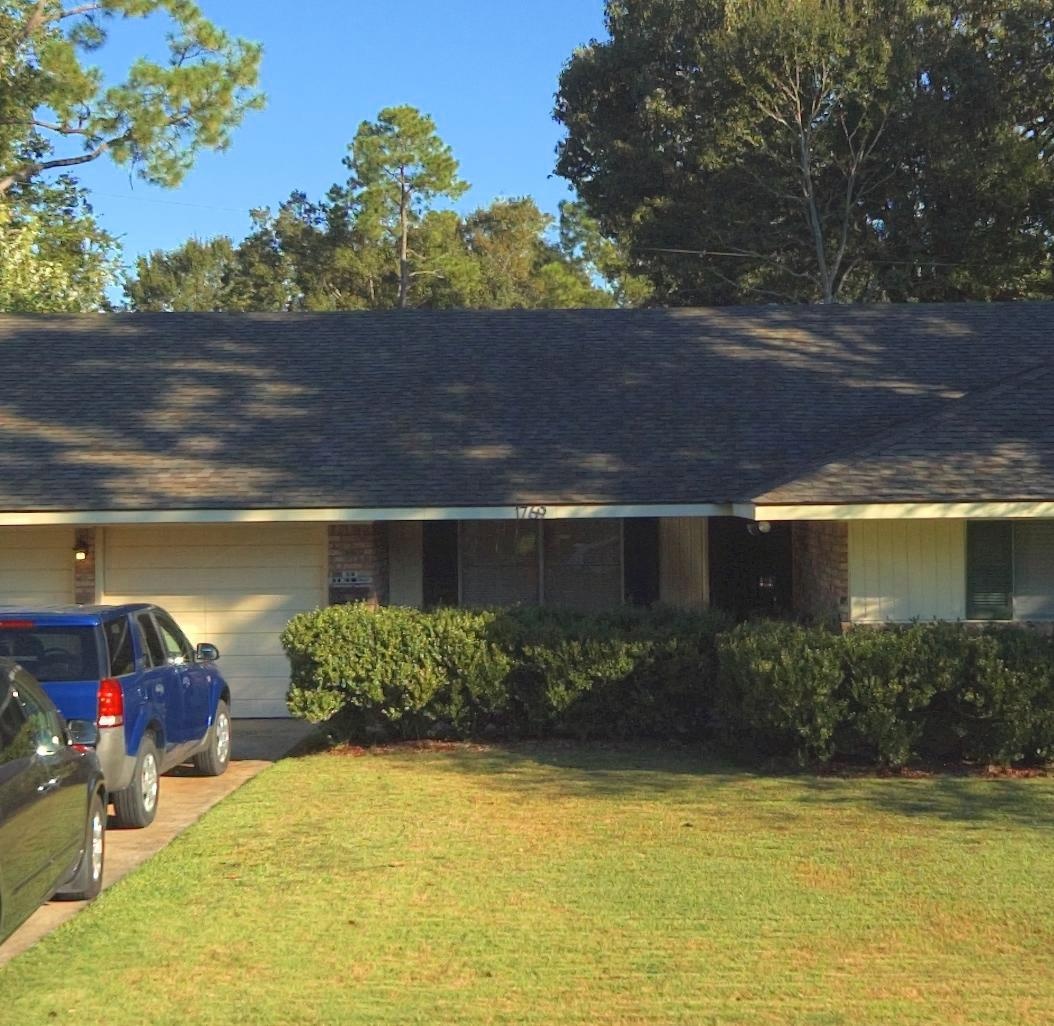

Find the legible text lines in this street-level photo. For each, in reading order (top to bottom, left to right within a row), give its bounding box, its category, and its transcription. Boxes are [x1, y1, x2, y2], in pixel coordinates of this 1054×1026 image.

[513, 504, 548, 521] StreetNumber: 1769